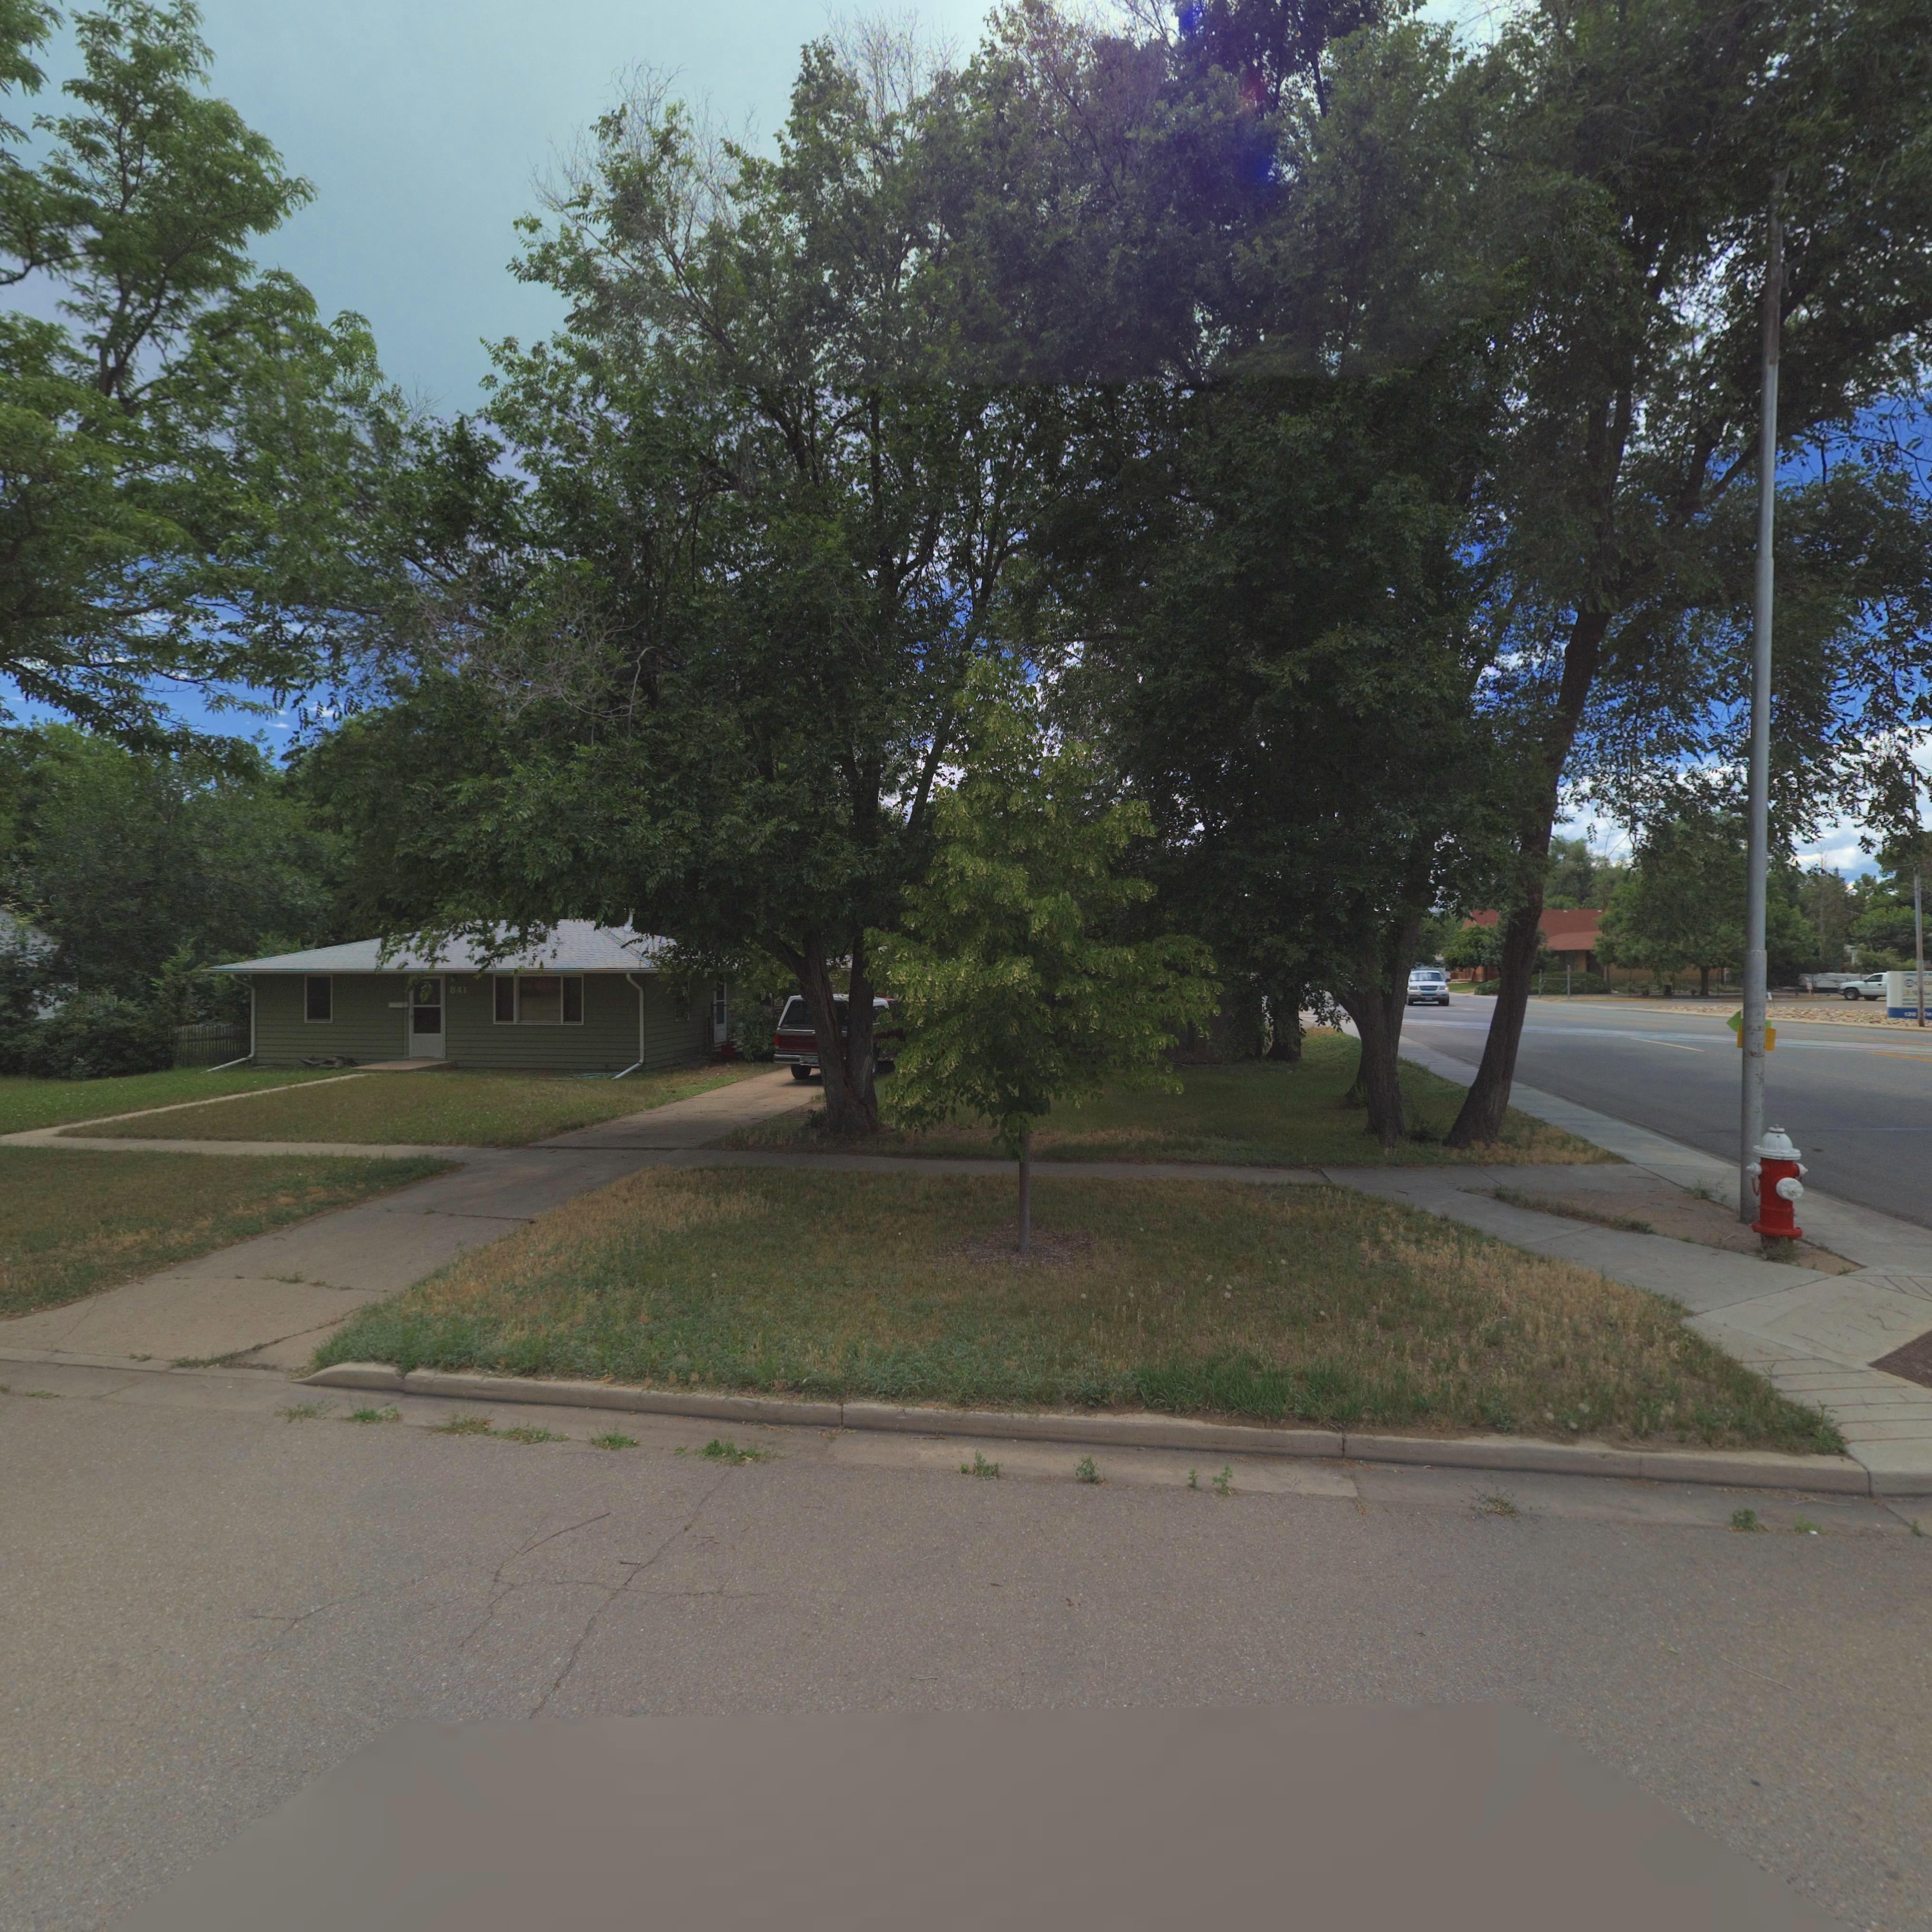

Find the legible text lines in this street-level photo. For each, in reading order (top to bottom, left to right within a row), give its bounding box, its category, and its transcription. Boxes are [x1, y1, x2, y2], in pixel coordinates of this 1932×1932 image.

[1915, 981, 1931, 986] BusinessName: ****CE
[449, 985, 467, 995] StreetNumber: 841
[1904, 1011, 1917, 1016] StreetNumber: 120